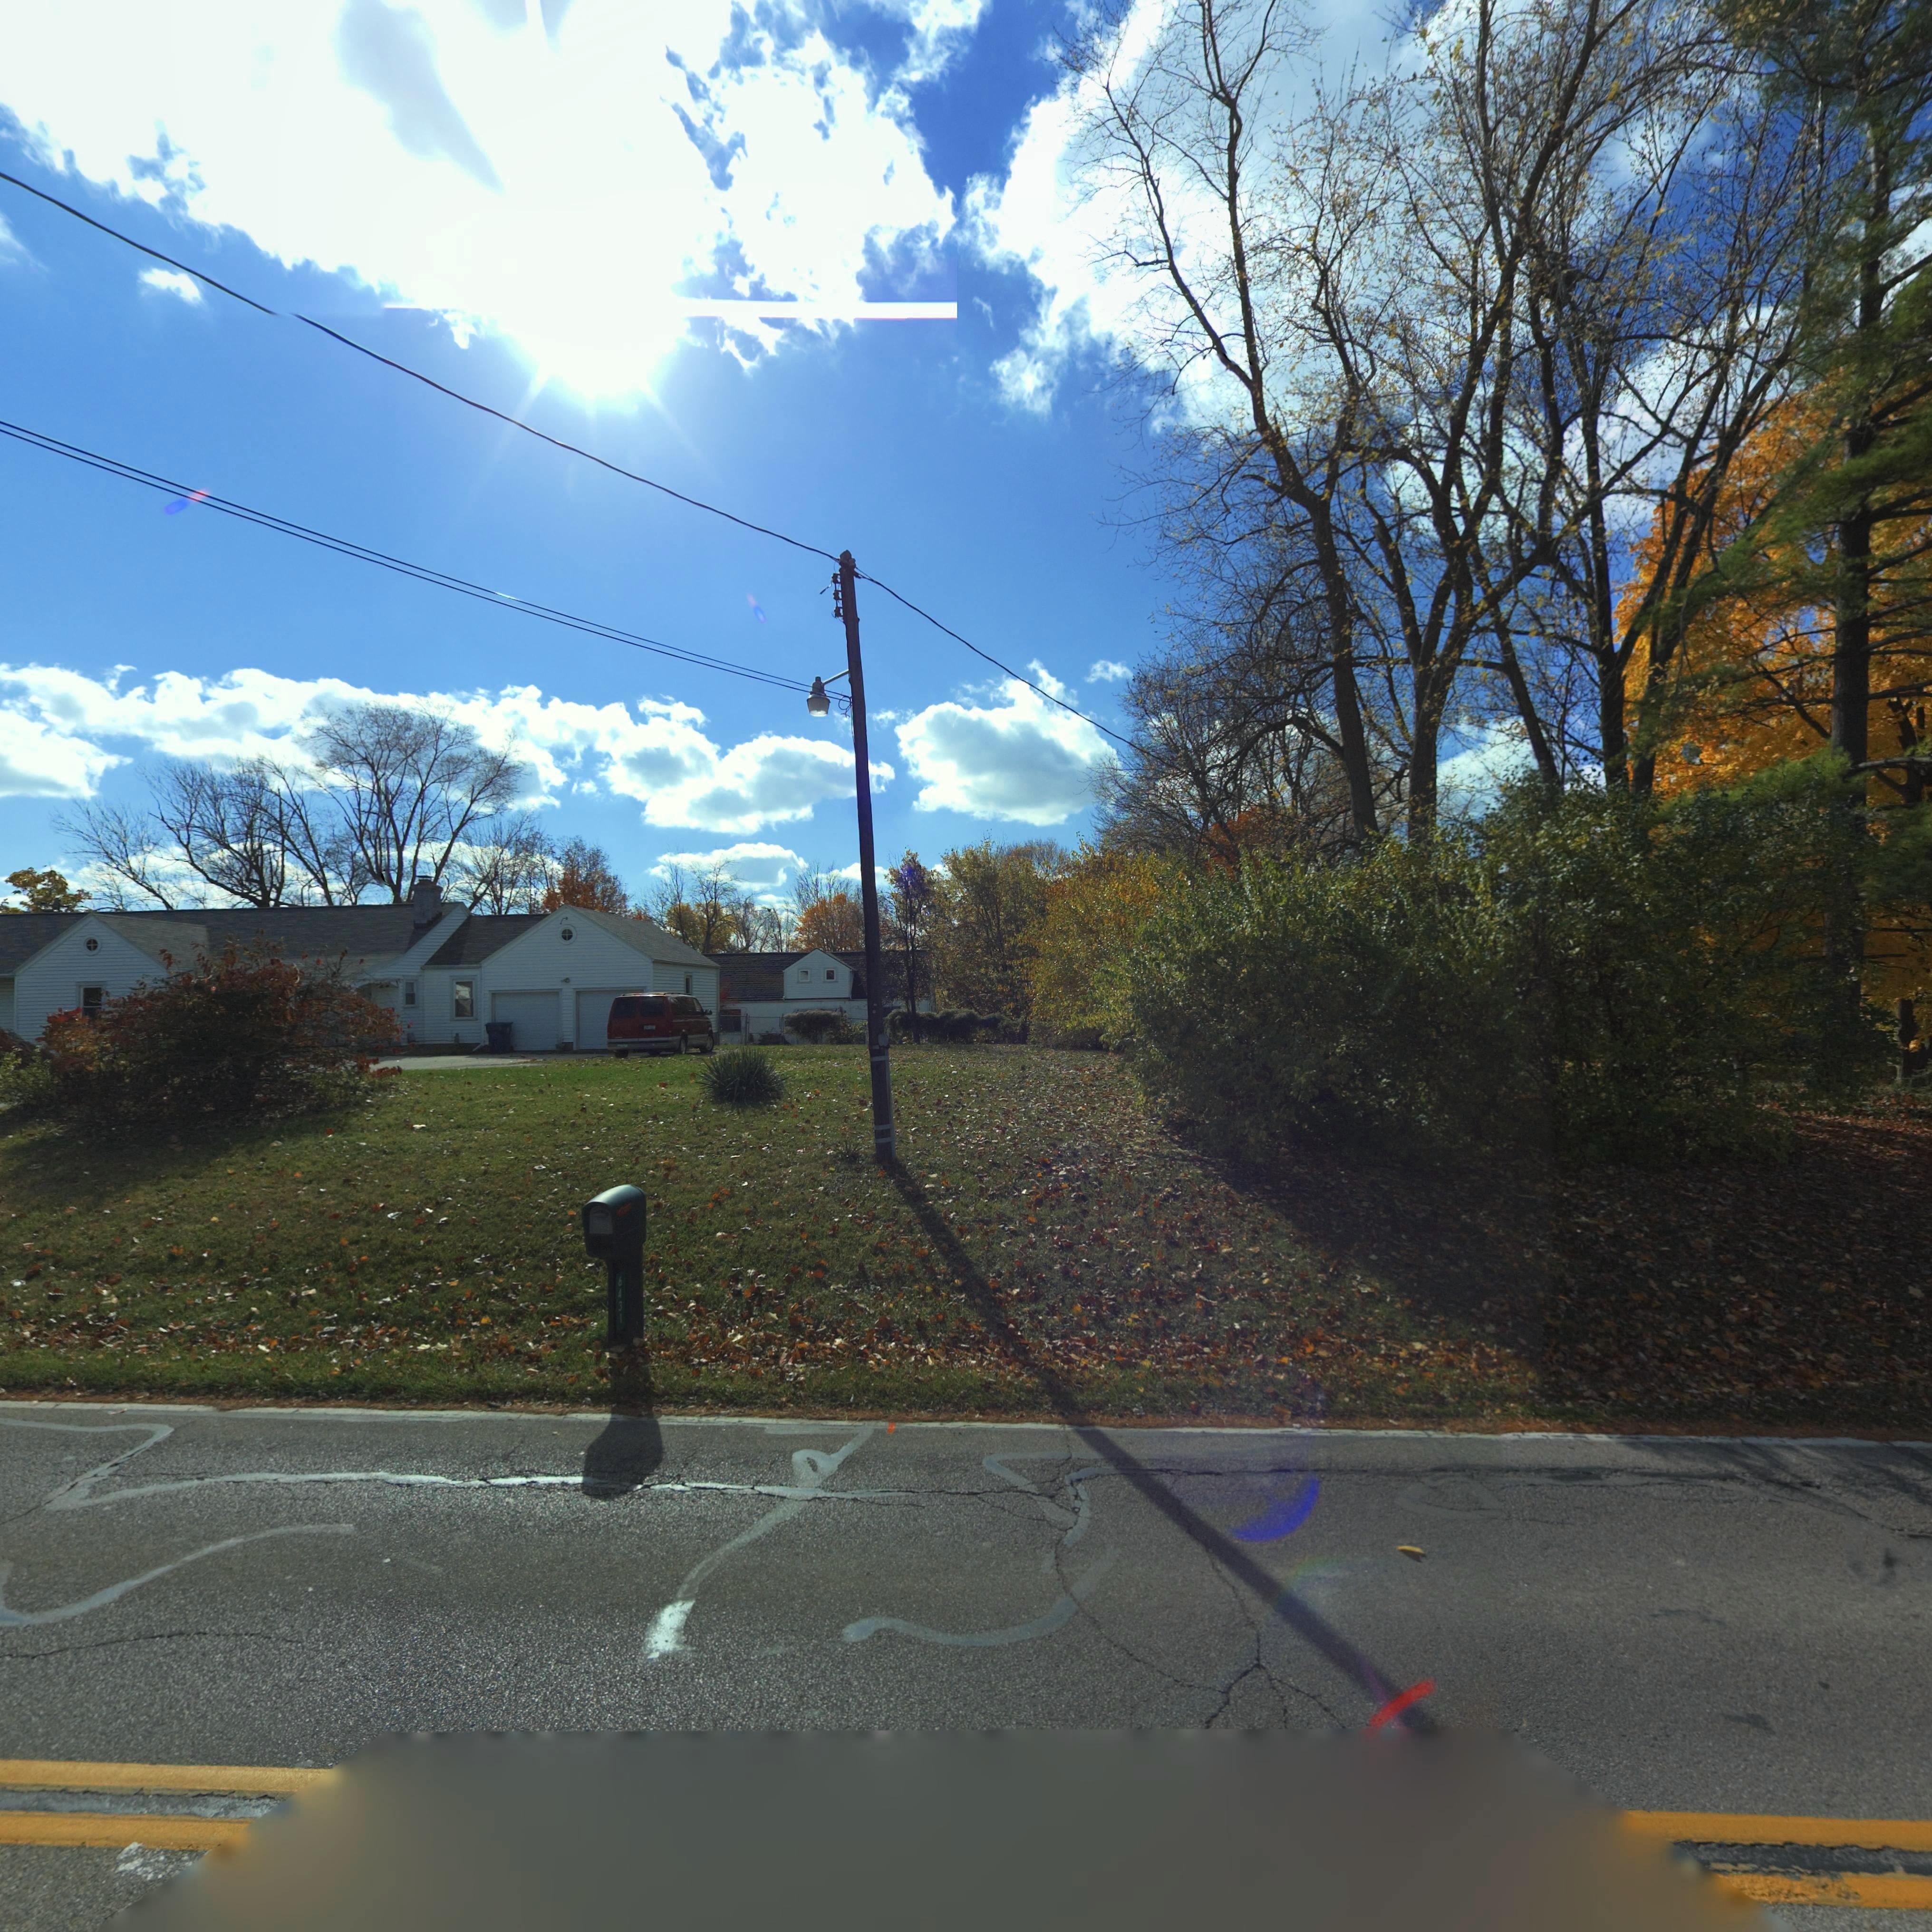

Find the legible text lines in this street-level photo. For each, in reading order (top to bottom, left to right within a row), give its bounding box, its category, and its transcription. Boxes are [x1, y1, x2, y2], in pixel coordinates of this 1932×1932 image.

[617, 1274, 623, 1325] StreetNumber: 6431